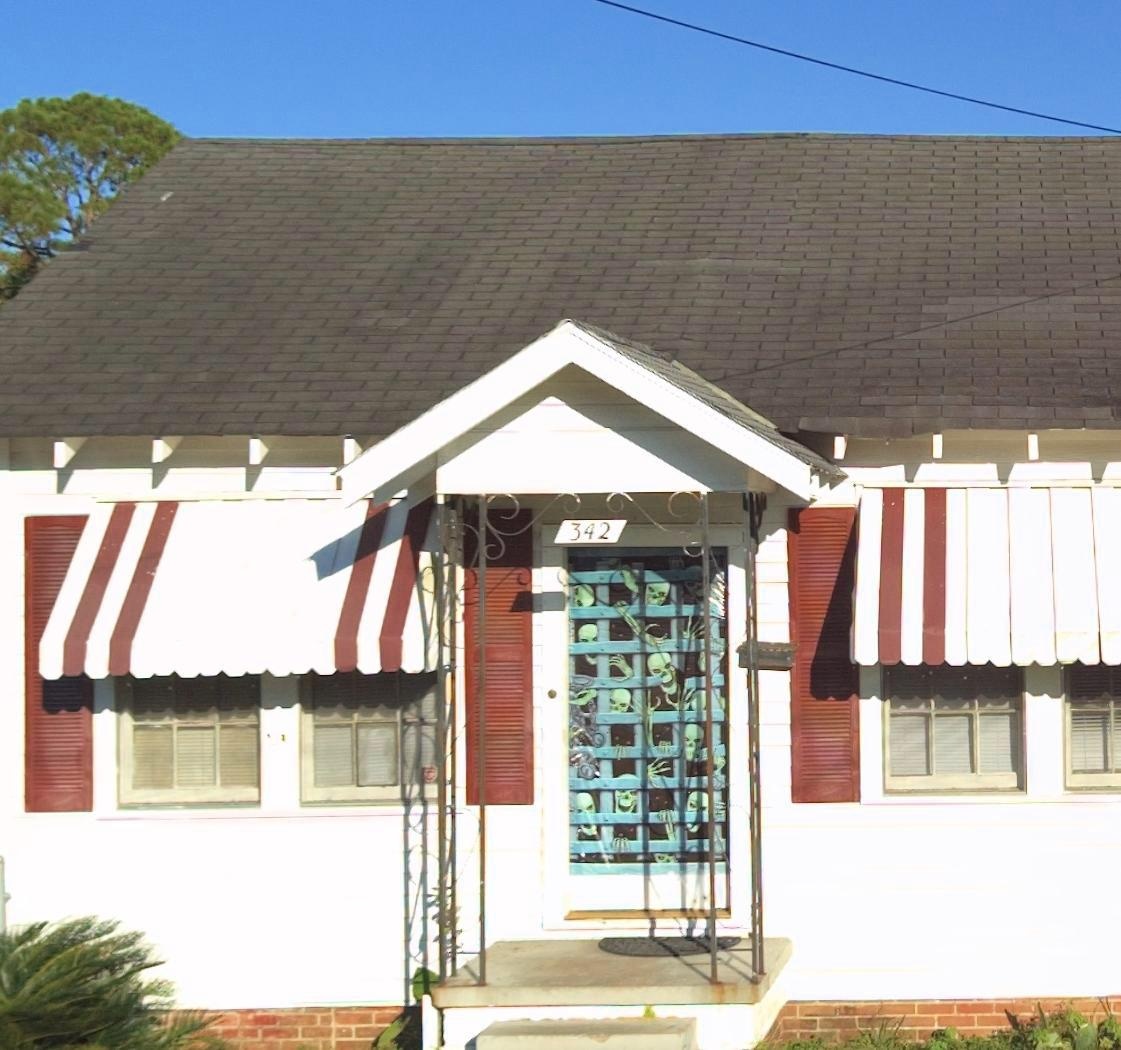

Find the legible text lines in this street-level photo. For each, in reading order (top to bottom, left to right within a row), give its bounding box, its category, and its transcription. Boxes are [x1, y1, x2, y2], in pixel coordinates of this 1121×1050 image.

[567, 520, 612, 543] StreetNumber: 342